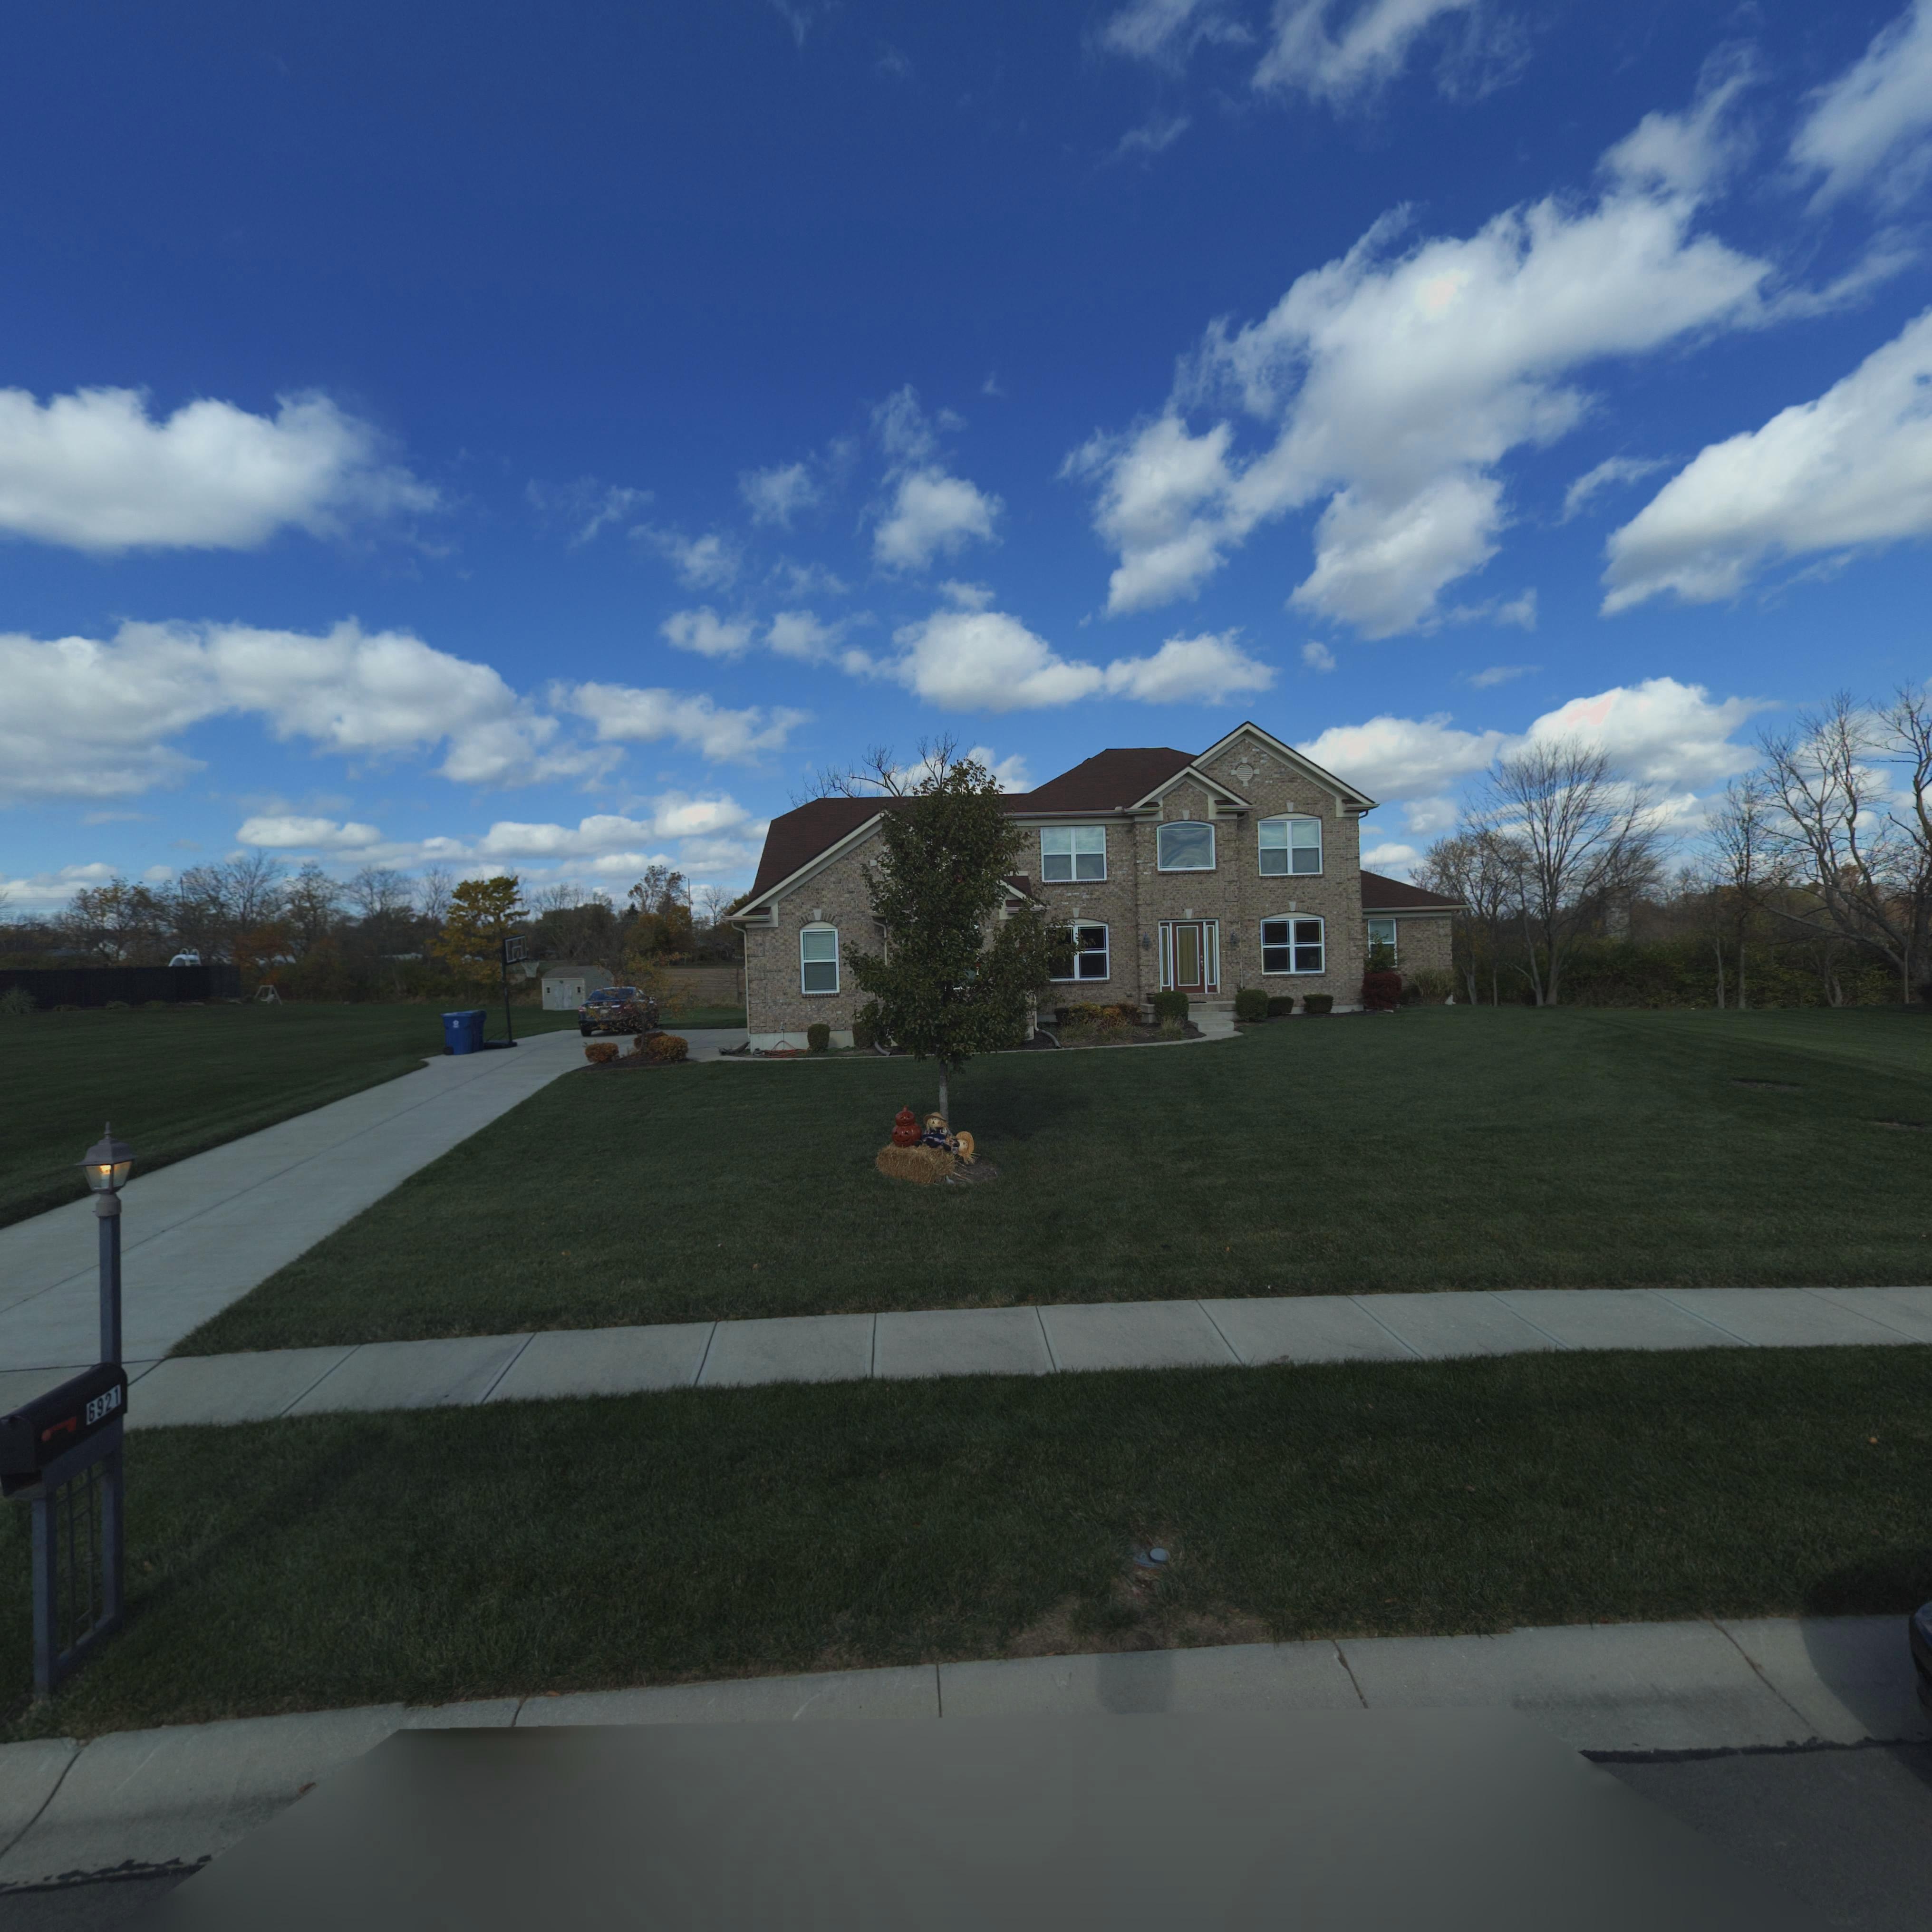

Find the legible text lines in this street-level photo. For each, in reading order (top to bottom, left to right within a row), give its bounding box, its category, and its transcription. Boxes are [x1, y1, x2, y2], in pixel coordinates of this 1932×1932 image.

[87, 1384, 120, 1424] StreetNumber: 6921